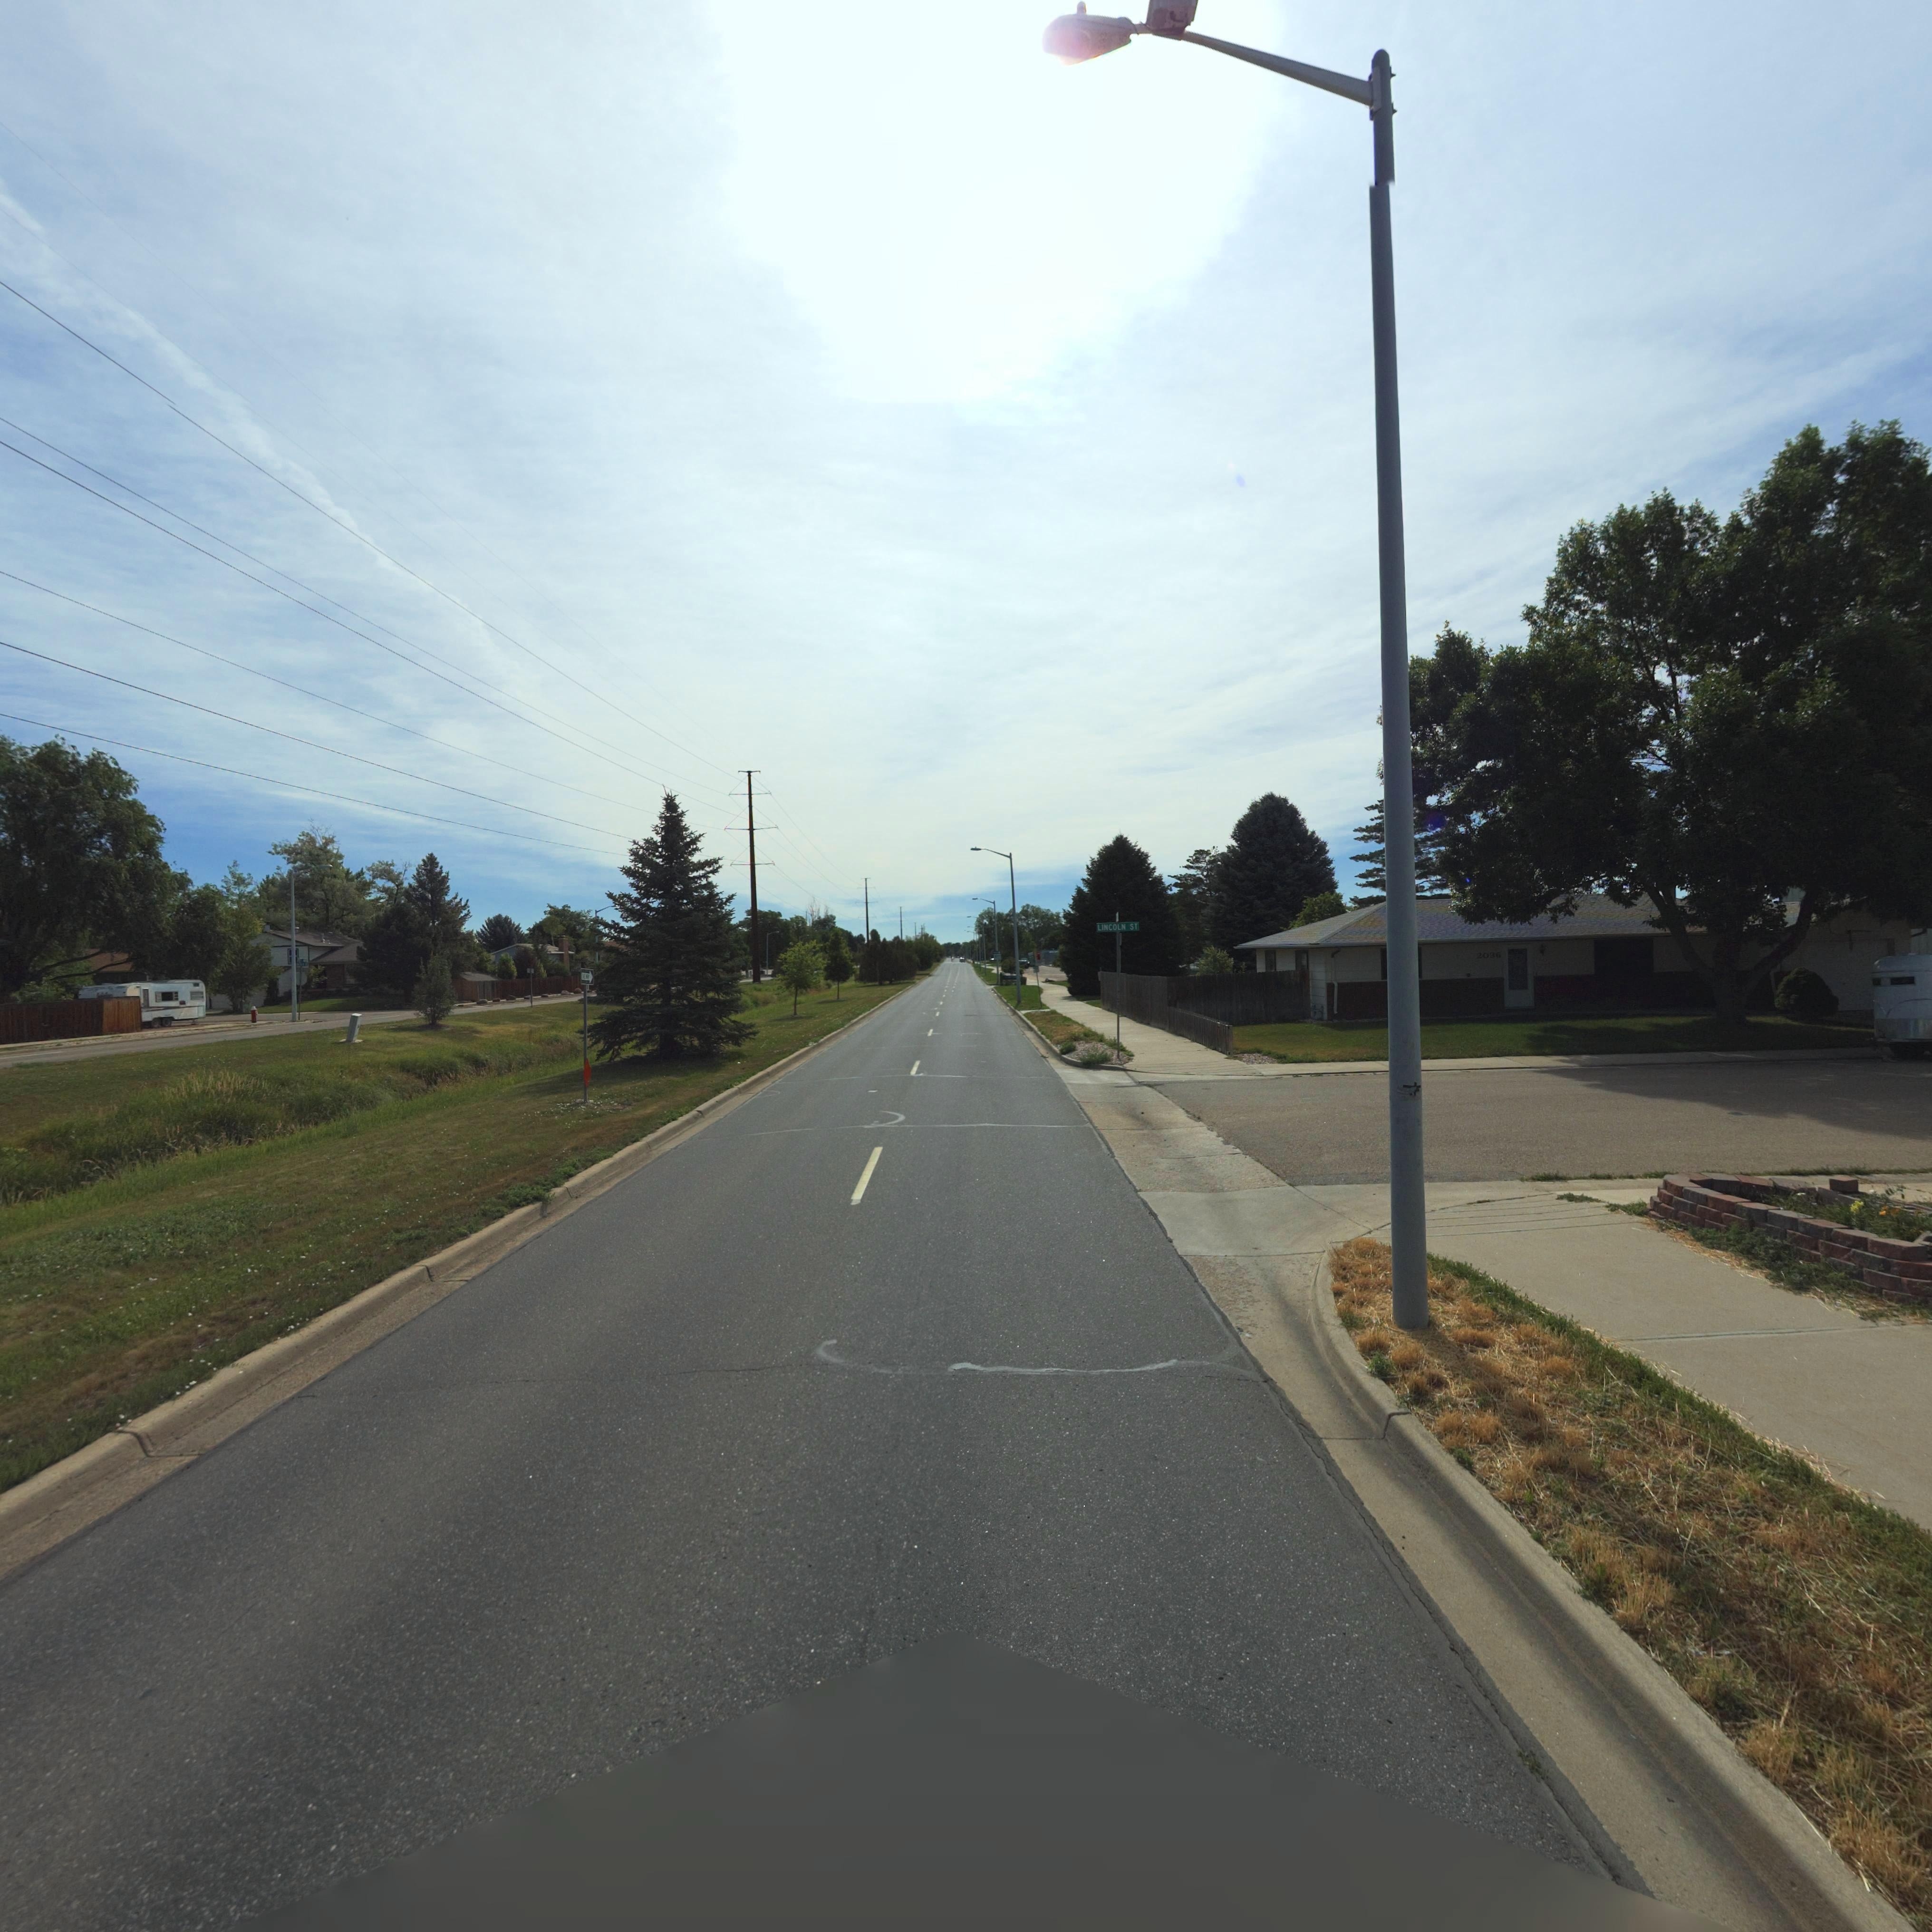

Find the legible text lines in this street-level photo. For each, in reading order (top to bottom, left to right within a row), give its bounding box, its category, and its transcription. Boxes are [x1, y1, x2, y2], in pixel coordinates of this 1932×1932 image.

[1097, 923, 1137, 930] StreetName: LINCOLN ST
[1476, 951, 1501, 959] StreetNumber: 2036